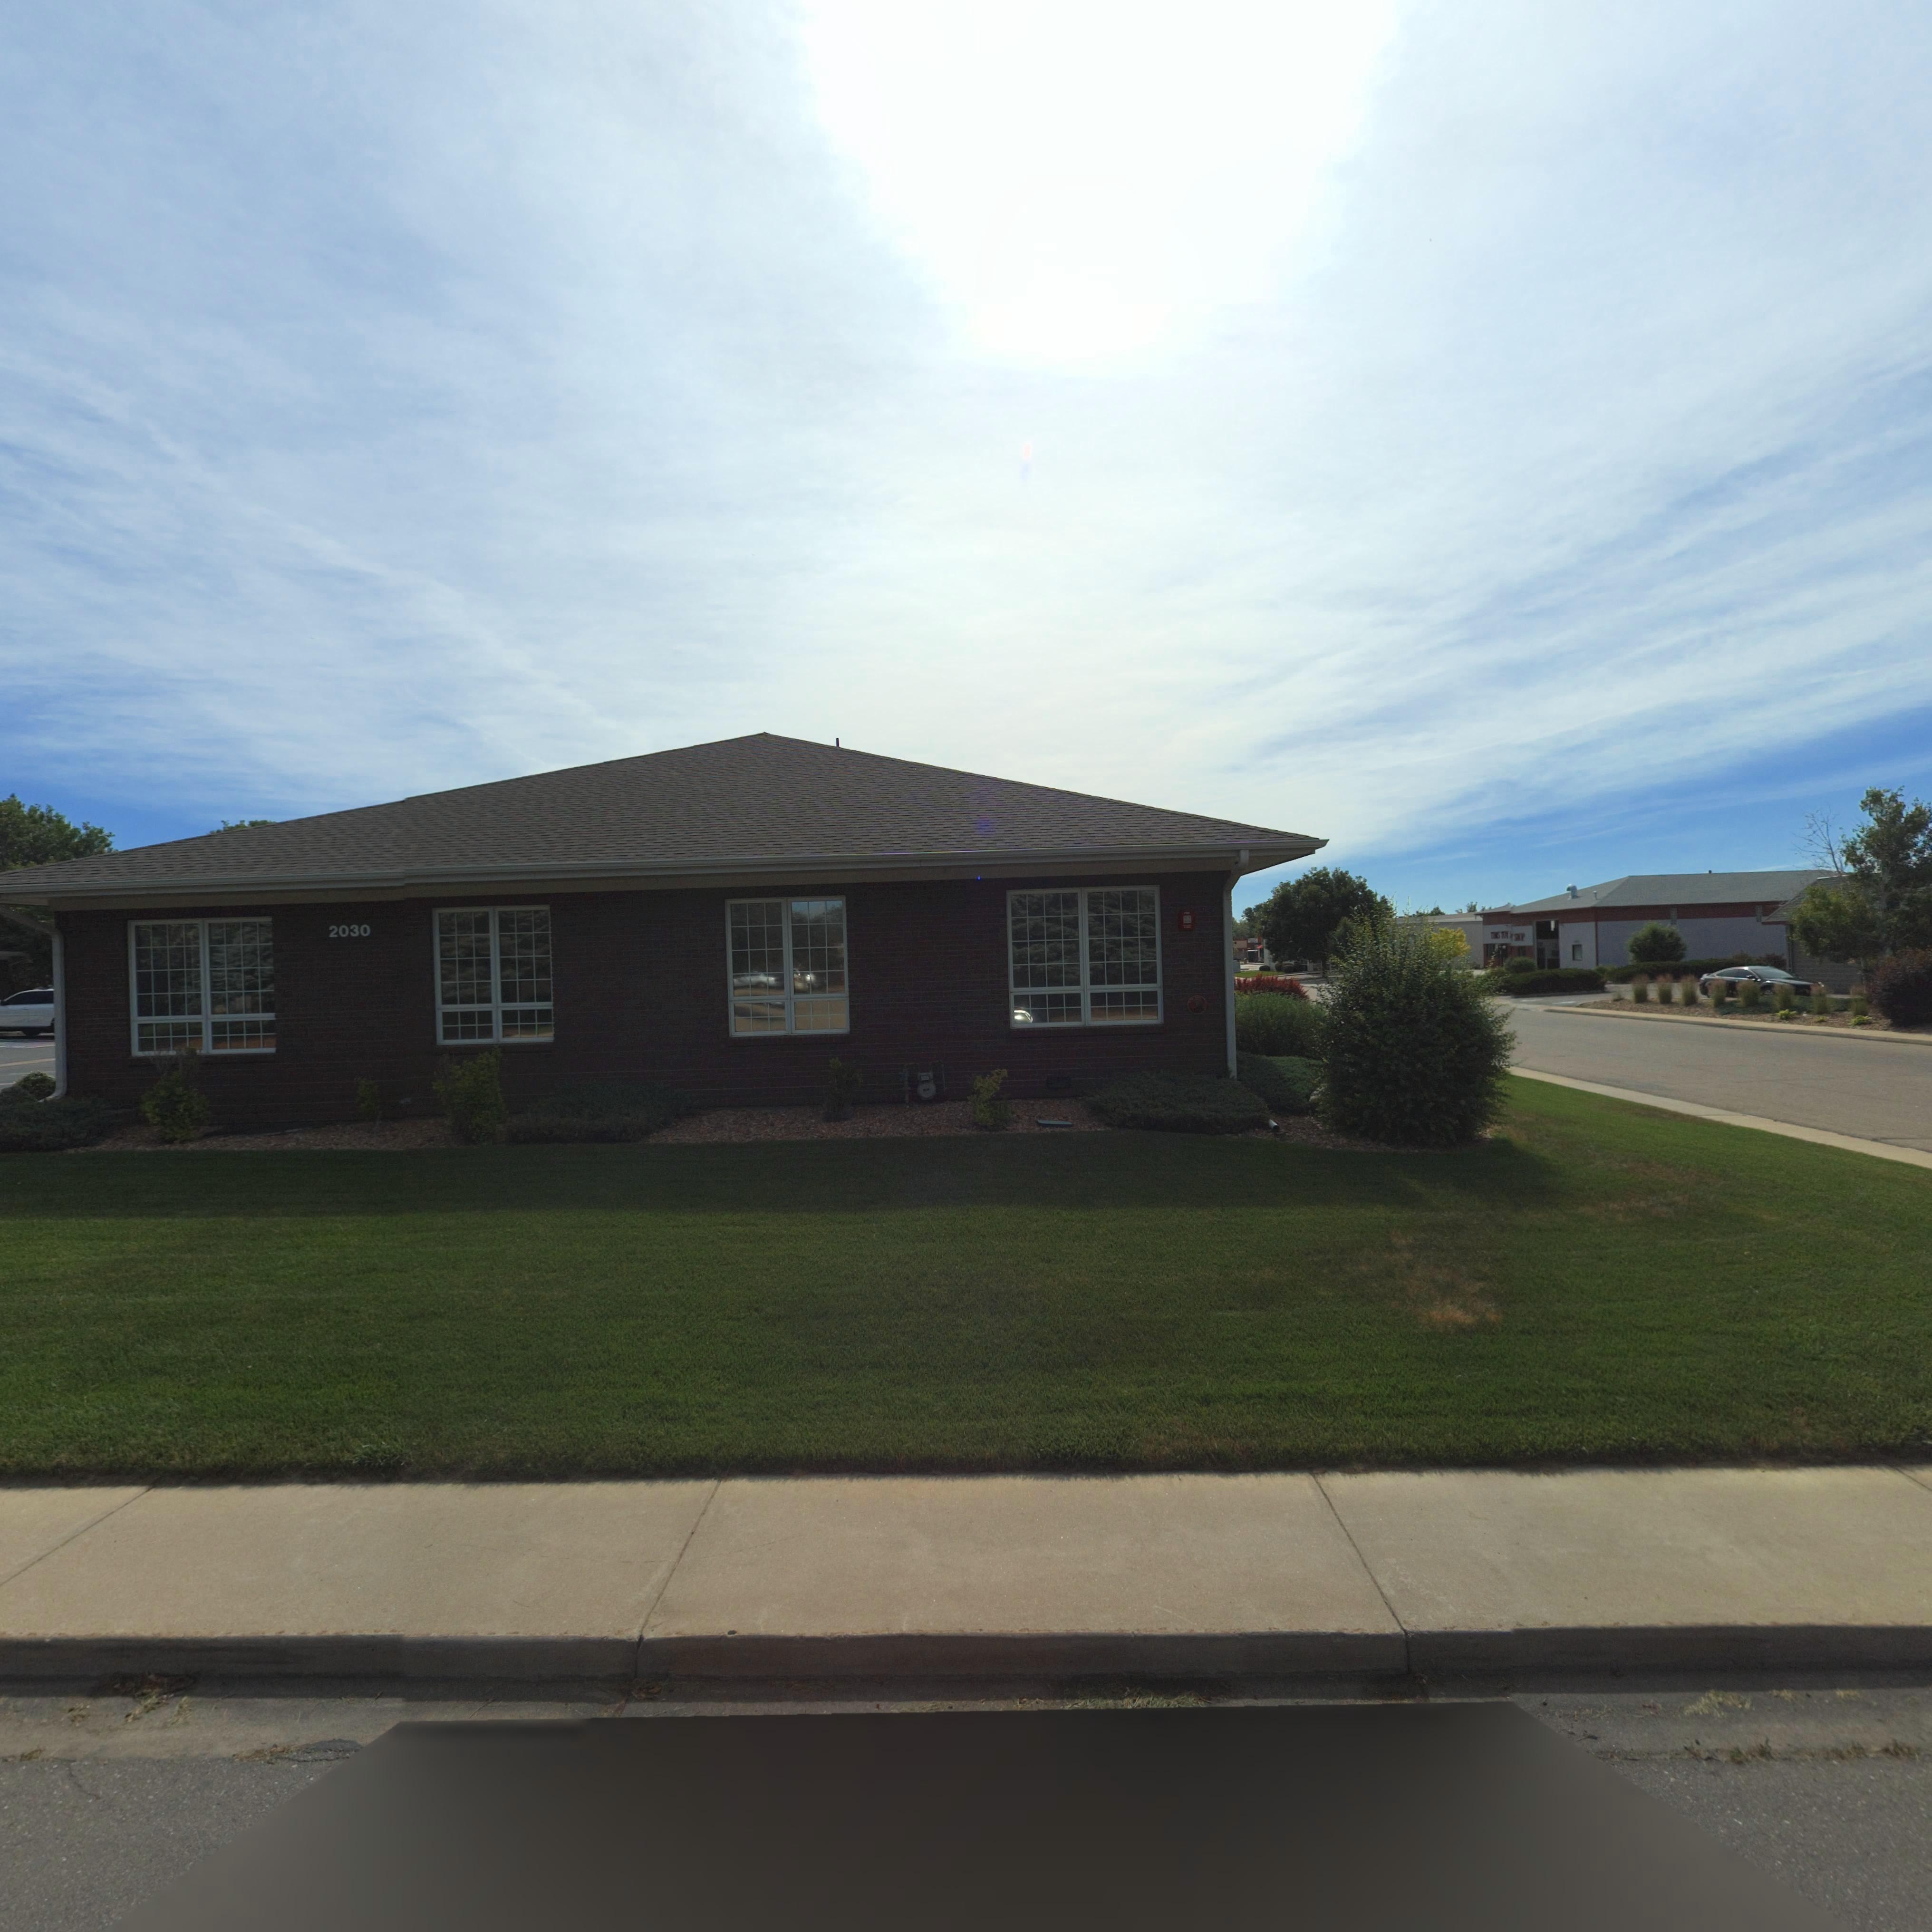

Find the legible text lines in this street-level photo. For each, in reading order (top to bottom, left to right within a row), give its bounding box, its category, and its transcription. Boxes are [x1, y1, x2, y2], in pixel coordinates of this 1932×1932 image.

[328, 923, 371, 938] StreetNumber: 2030
[1489, 930, 1526, 942] BusinessName: T*MS T*Y * S*OP